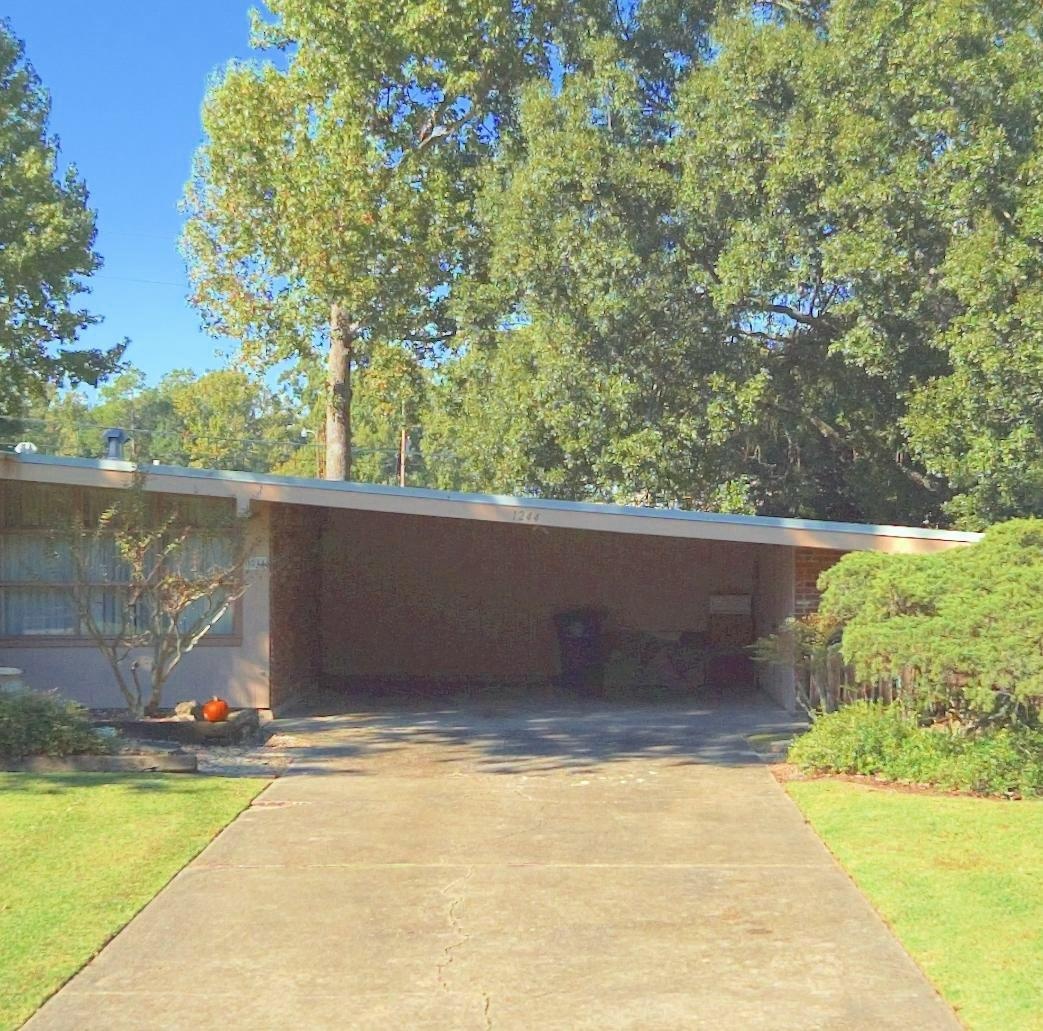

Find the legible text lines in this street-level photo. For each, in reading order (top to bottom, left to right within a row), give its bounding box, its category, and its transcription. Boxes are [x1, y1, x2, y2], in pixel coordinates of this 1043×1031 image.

[511, 508, 543, 525] StreetNumber: 1244